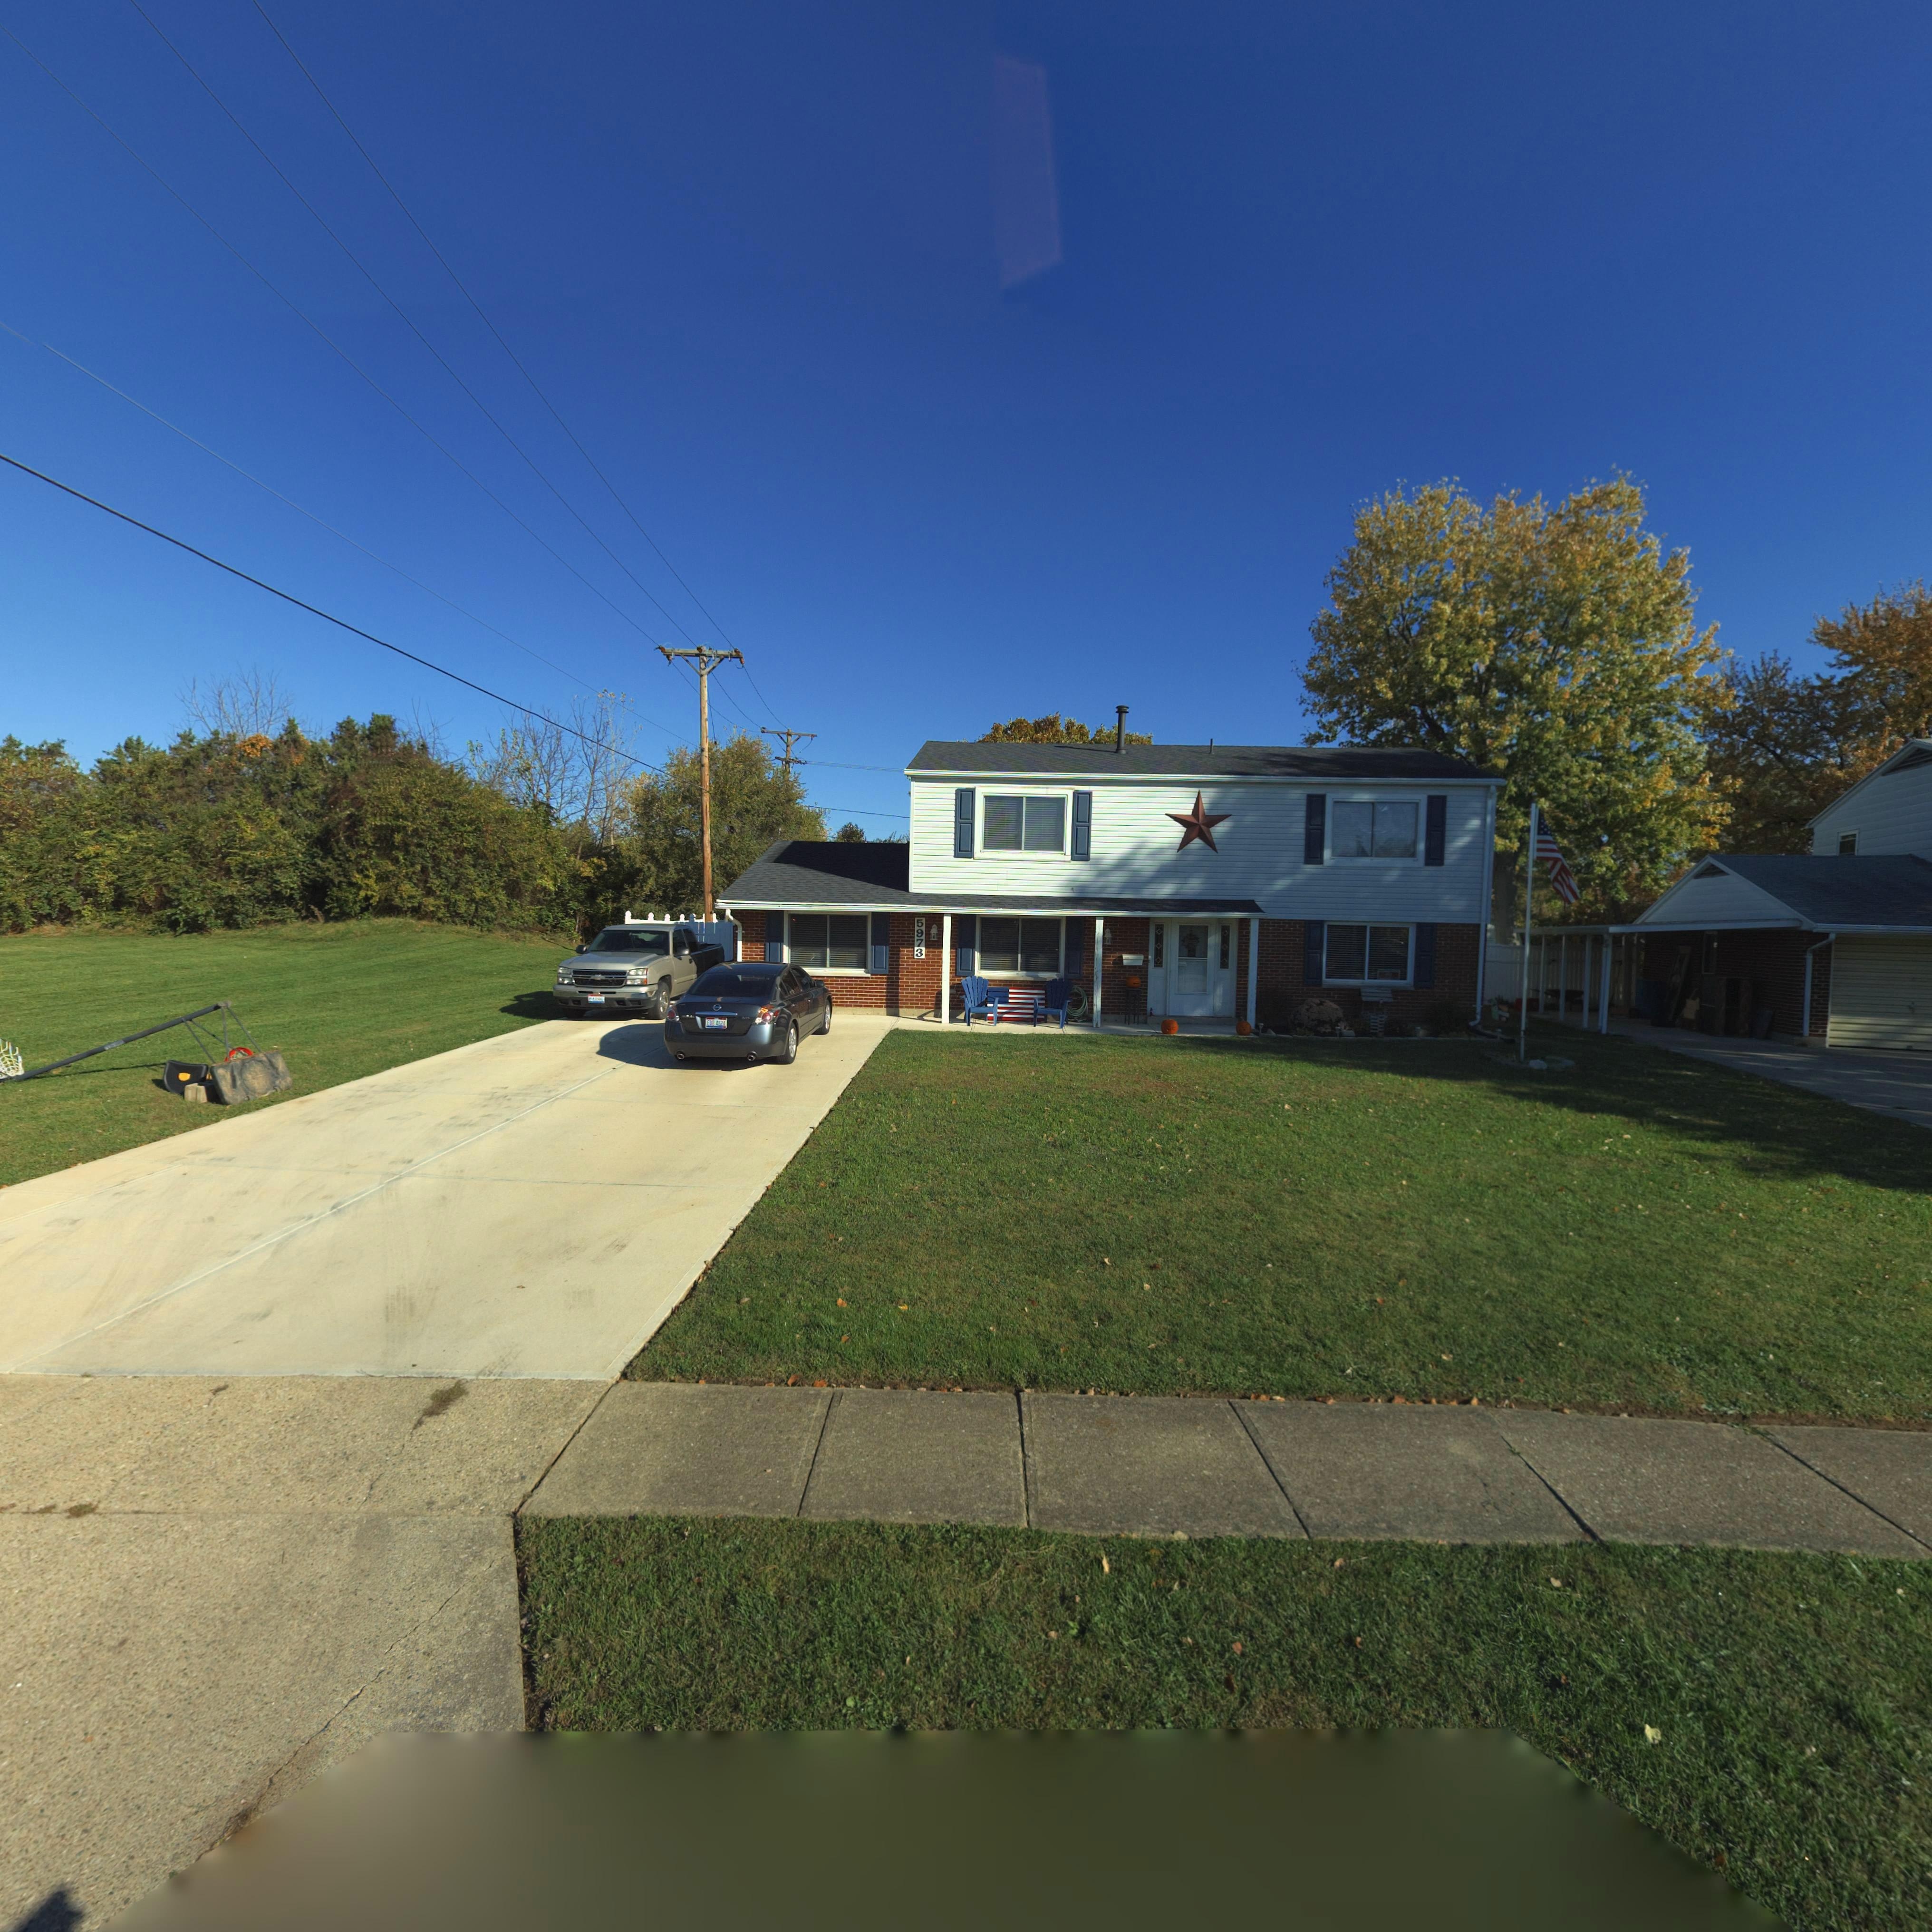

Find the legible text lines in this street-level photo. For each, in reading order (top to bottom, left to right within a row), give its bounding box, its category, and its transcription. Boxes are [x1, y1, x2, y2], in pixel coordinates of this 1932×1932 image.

[915, 918, 925, 958] StreetNumber: 5973